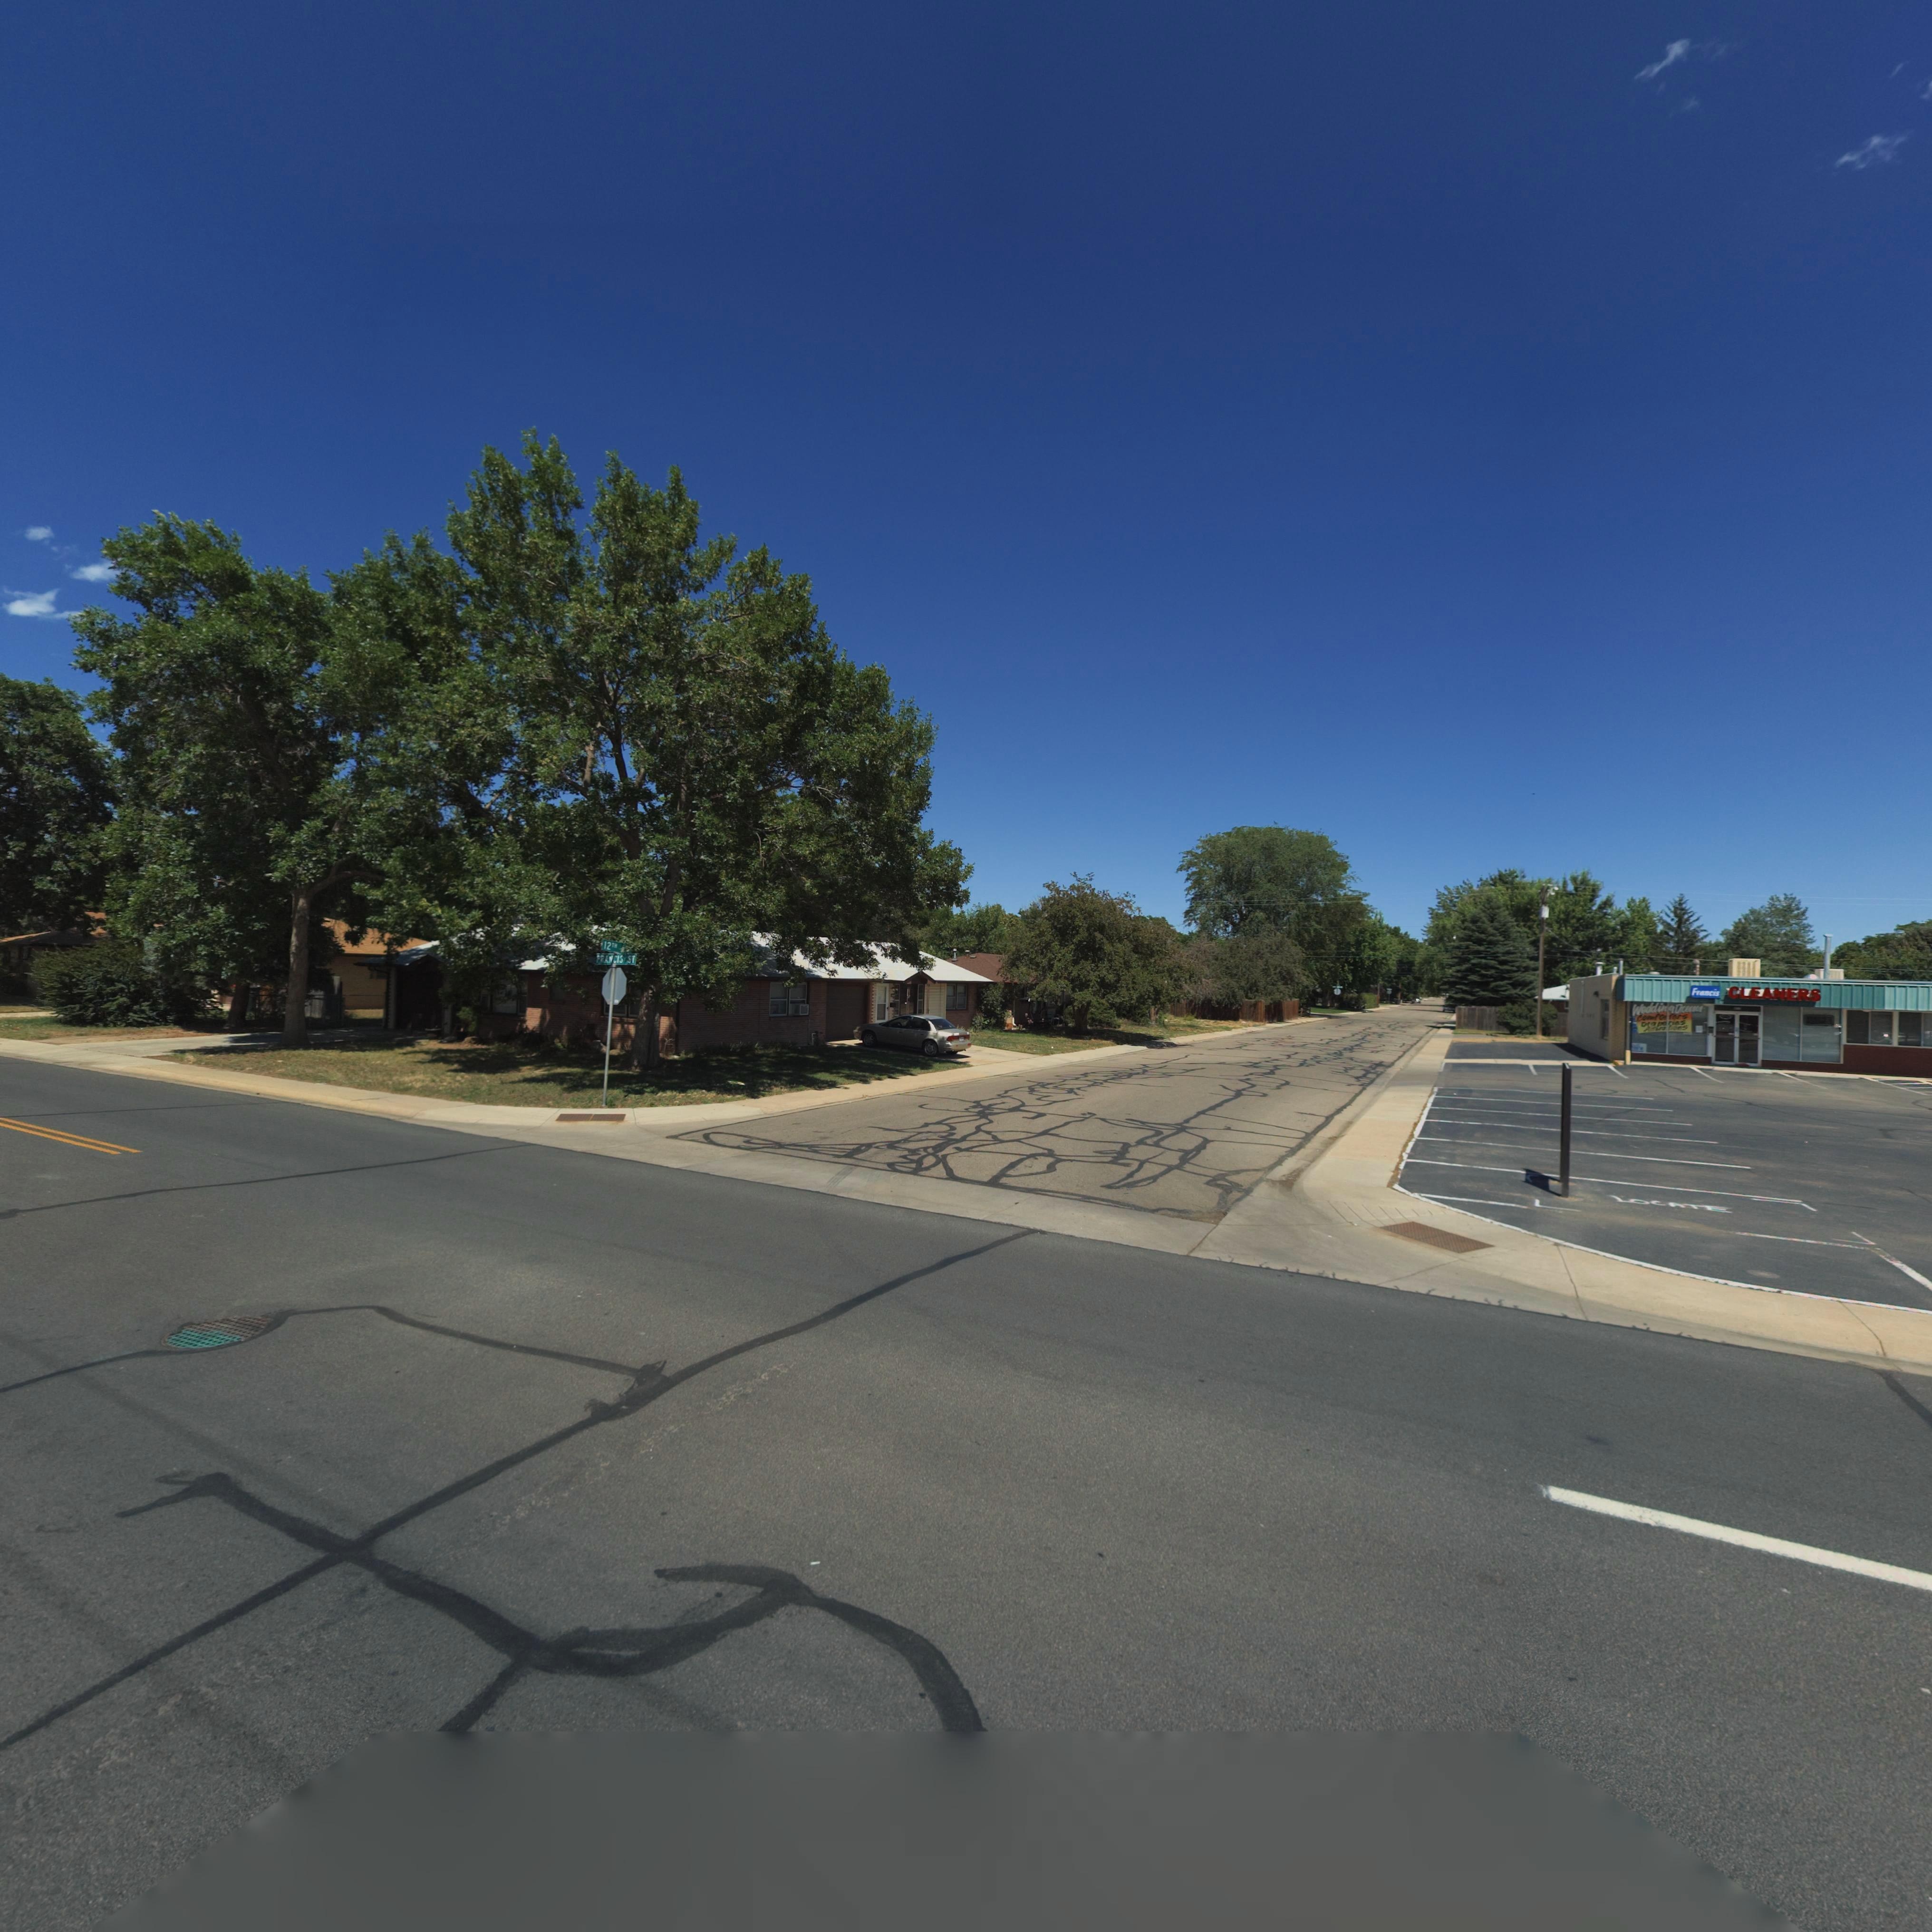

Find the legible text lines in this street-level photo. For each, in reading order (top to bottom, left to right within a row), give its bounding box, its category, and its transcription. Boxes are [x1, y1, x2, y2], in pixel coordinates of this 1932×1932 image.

[603, 939, 619, 952] StreetName: 12th
[596, 955, 635, 963] StreetName: FRANCIS ST
[1691, 987, 1720, 996] BusinessName: Francis
[1728, 985, 1821, 1002] BusinessName: CLEANERS